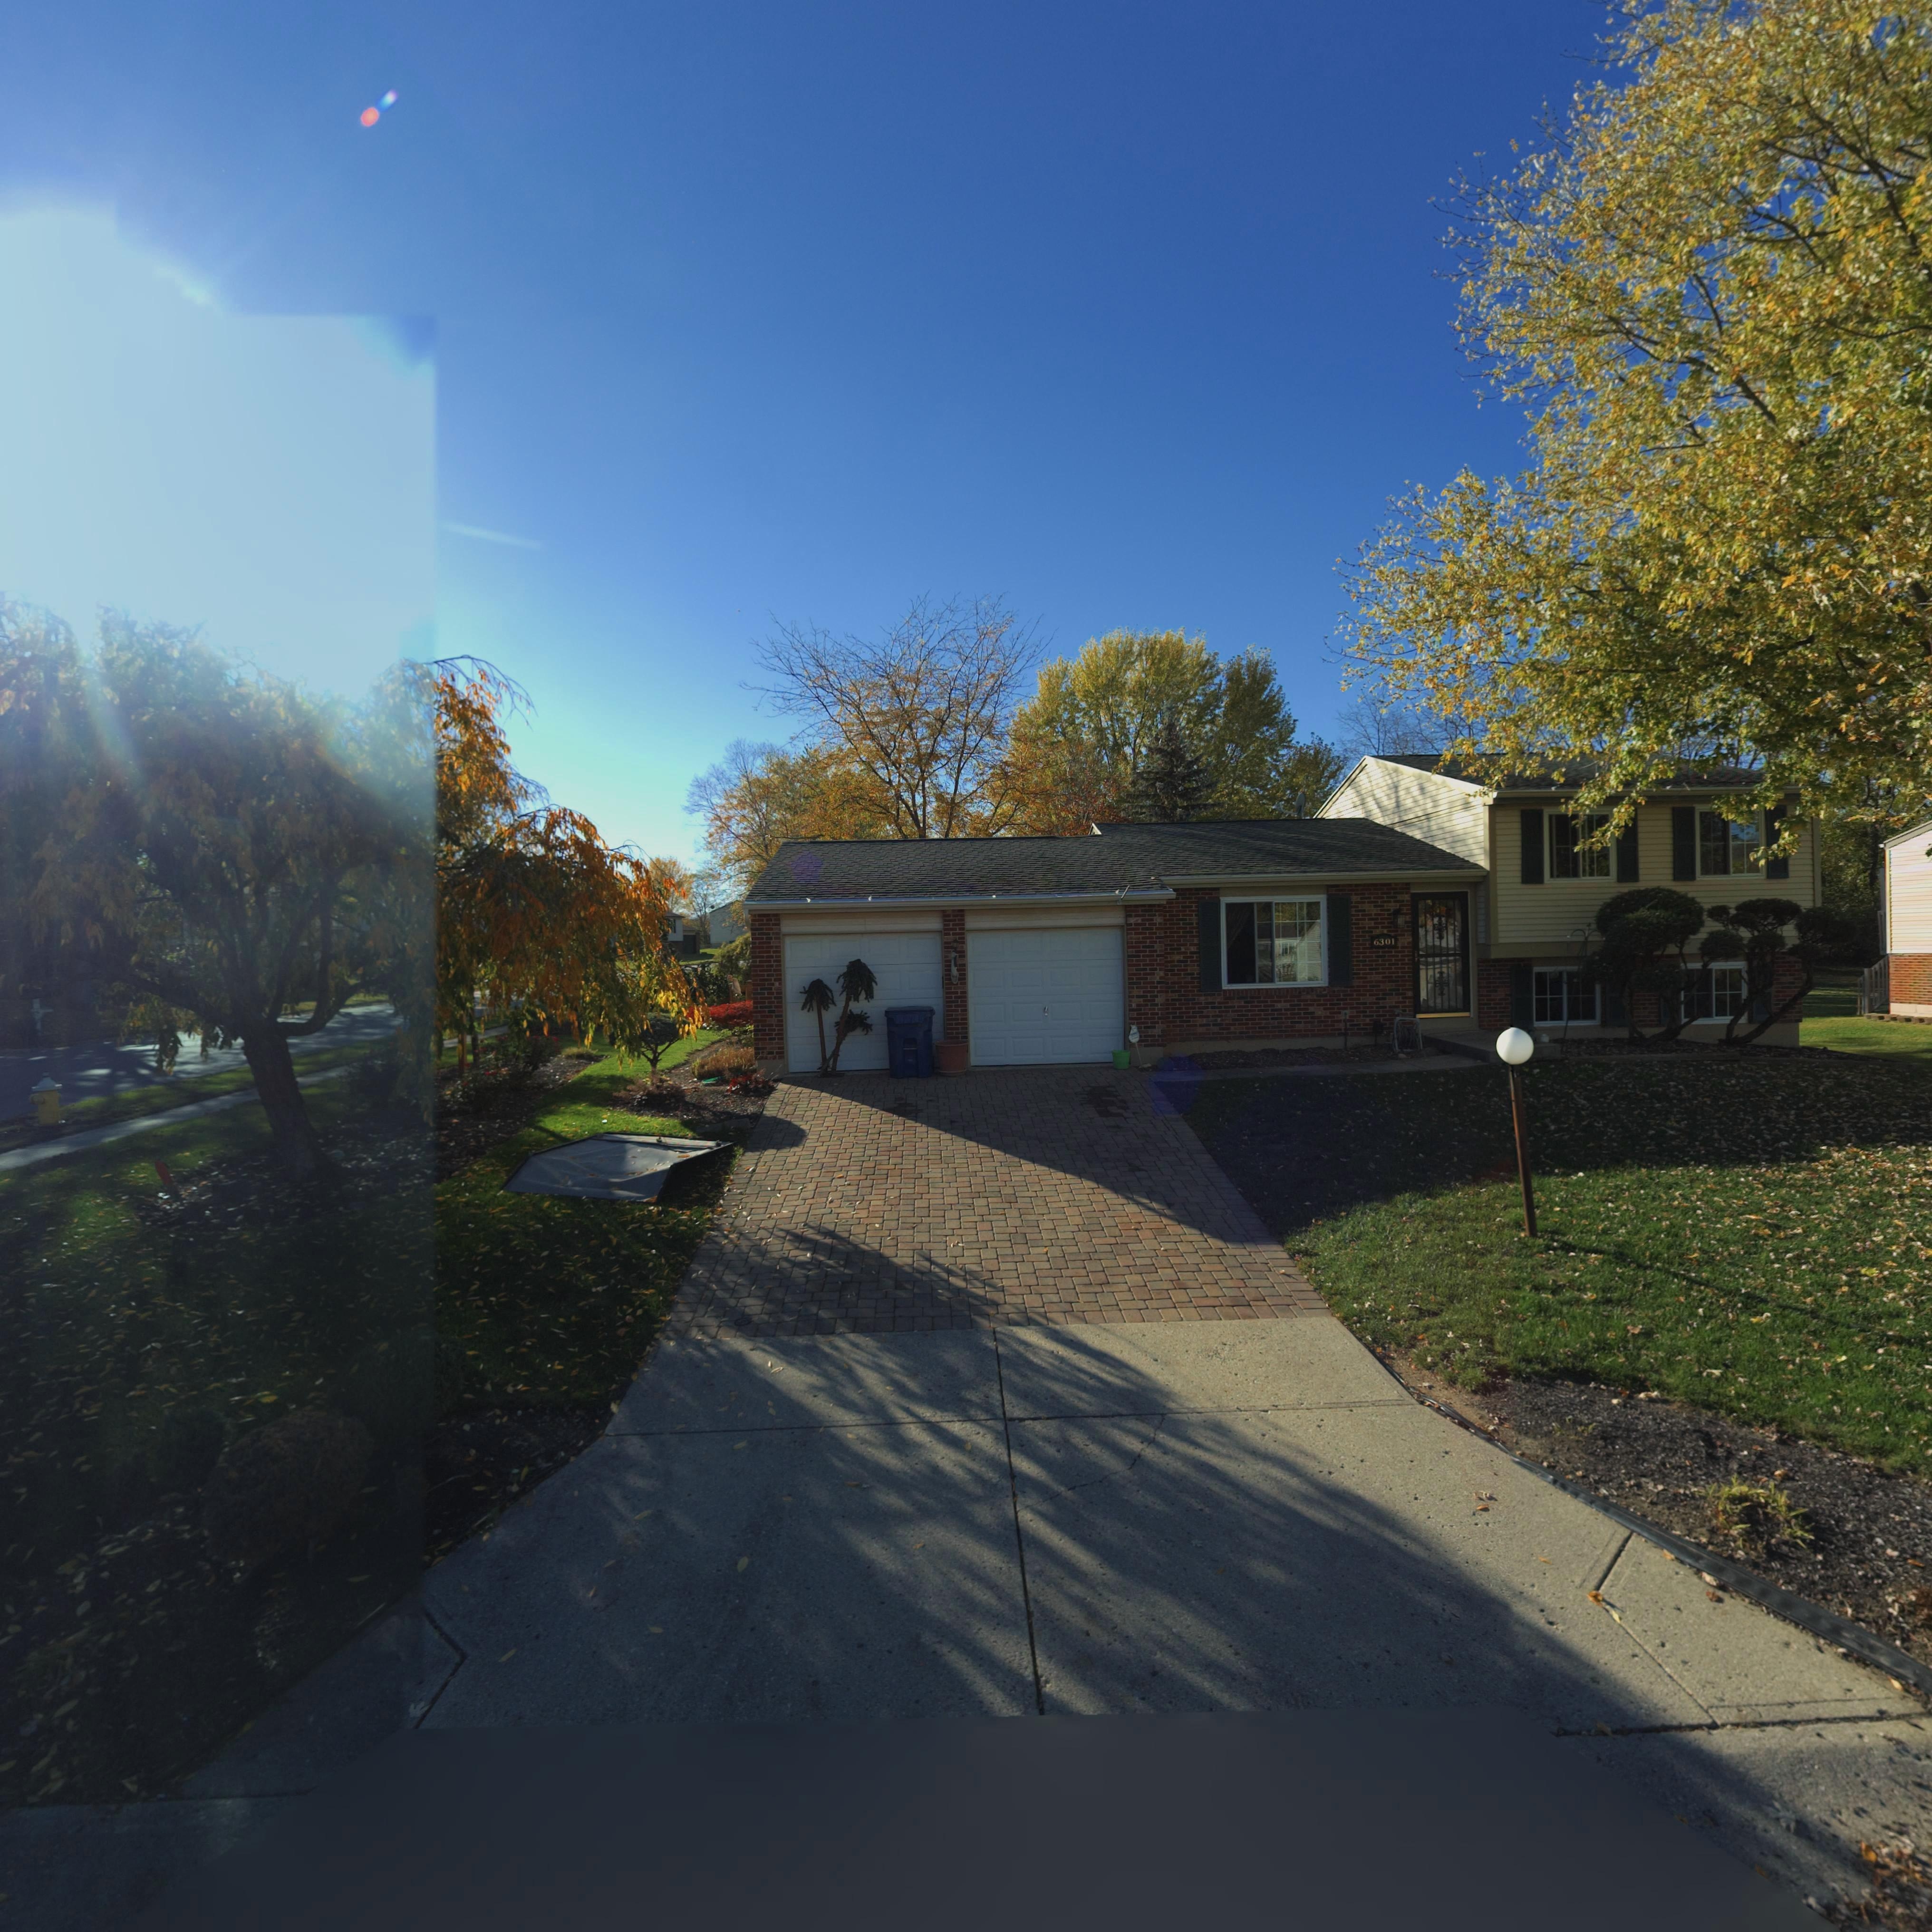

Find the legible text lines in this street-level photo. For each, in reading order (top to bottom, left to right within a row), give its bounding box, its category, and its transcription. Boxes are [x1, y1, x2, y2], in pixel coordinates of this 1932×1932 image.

[1372, 937, 1396, 947] StreetNumber: 6301